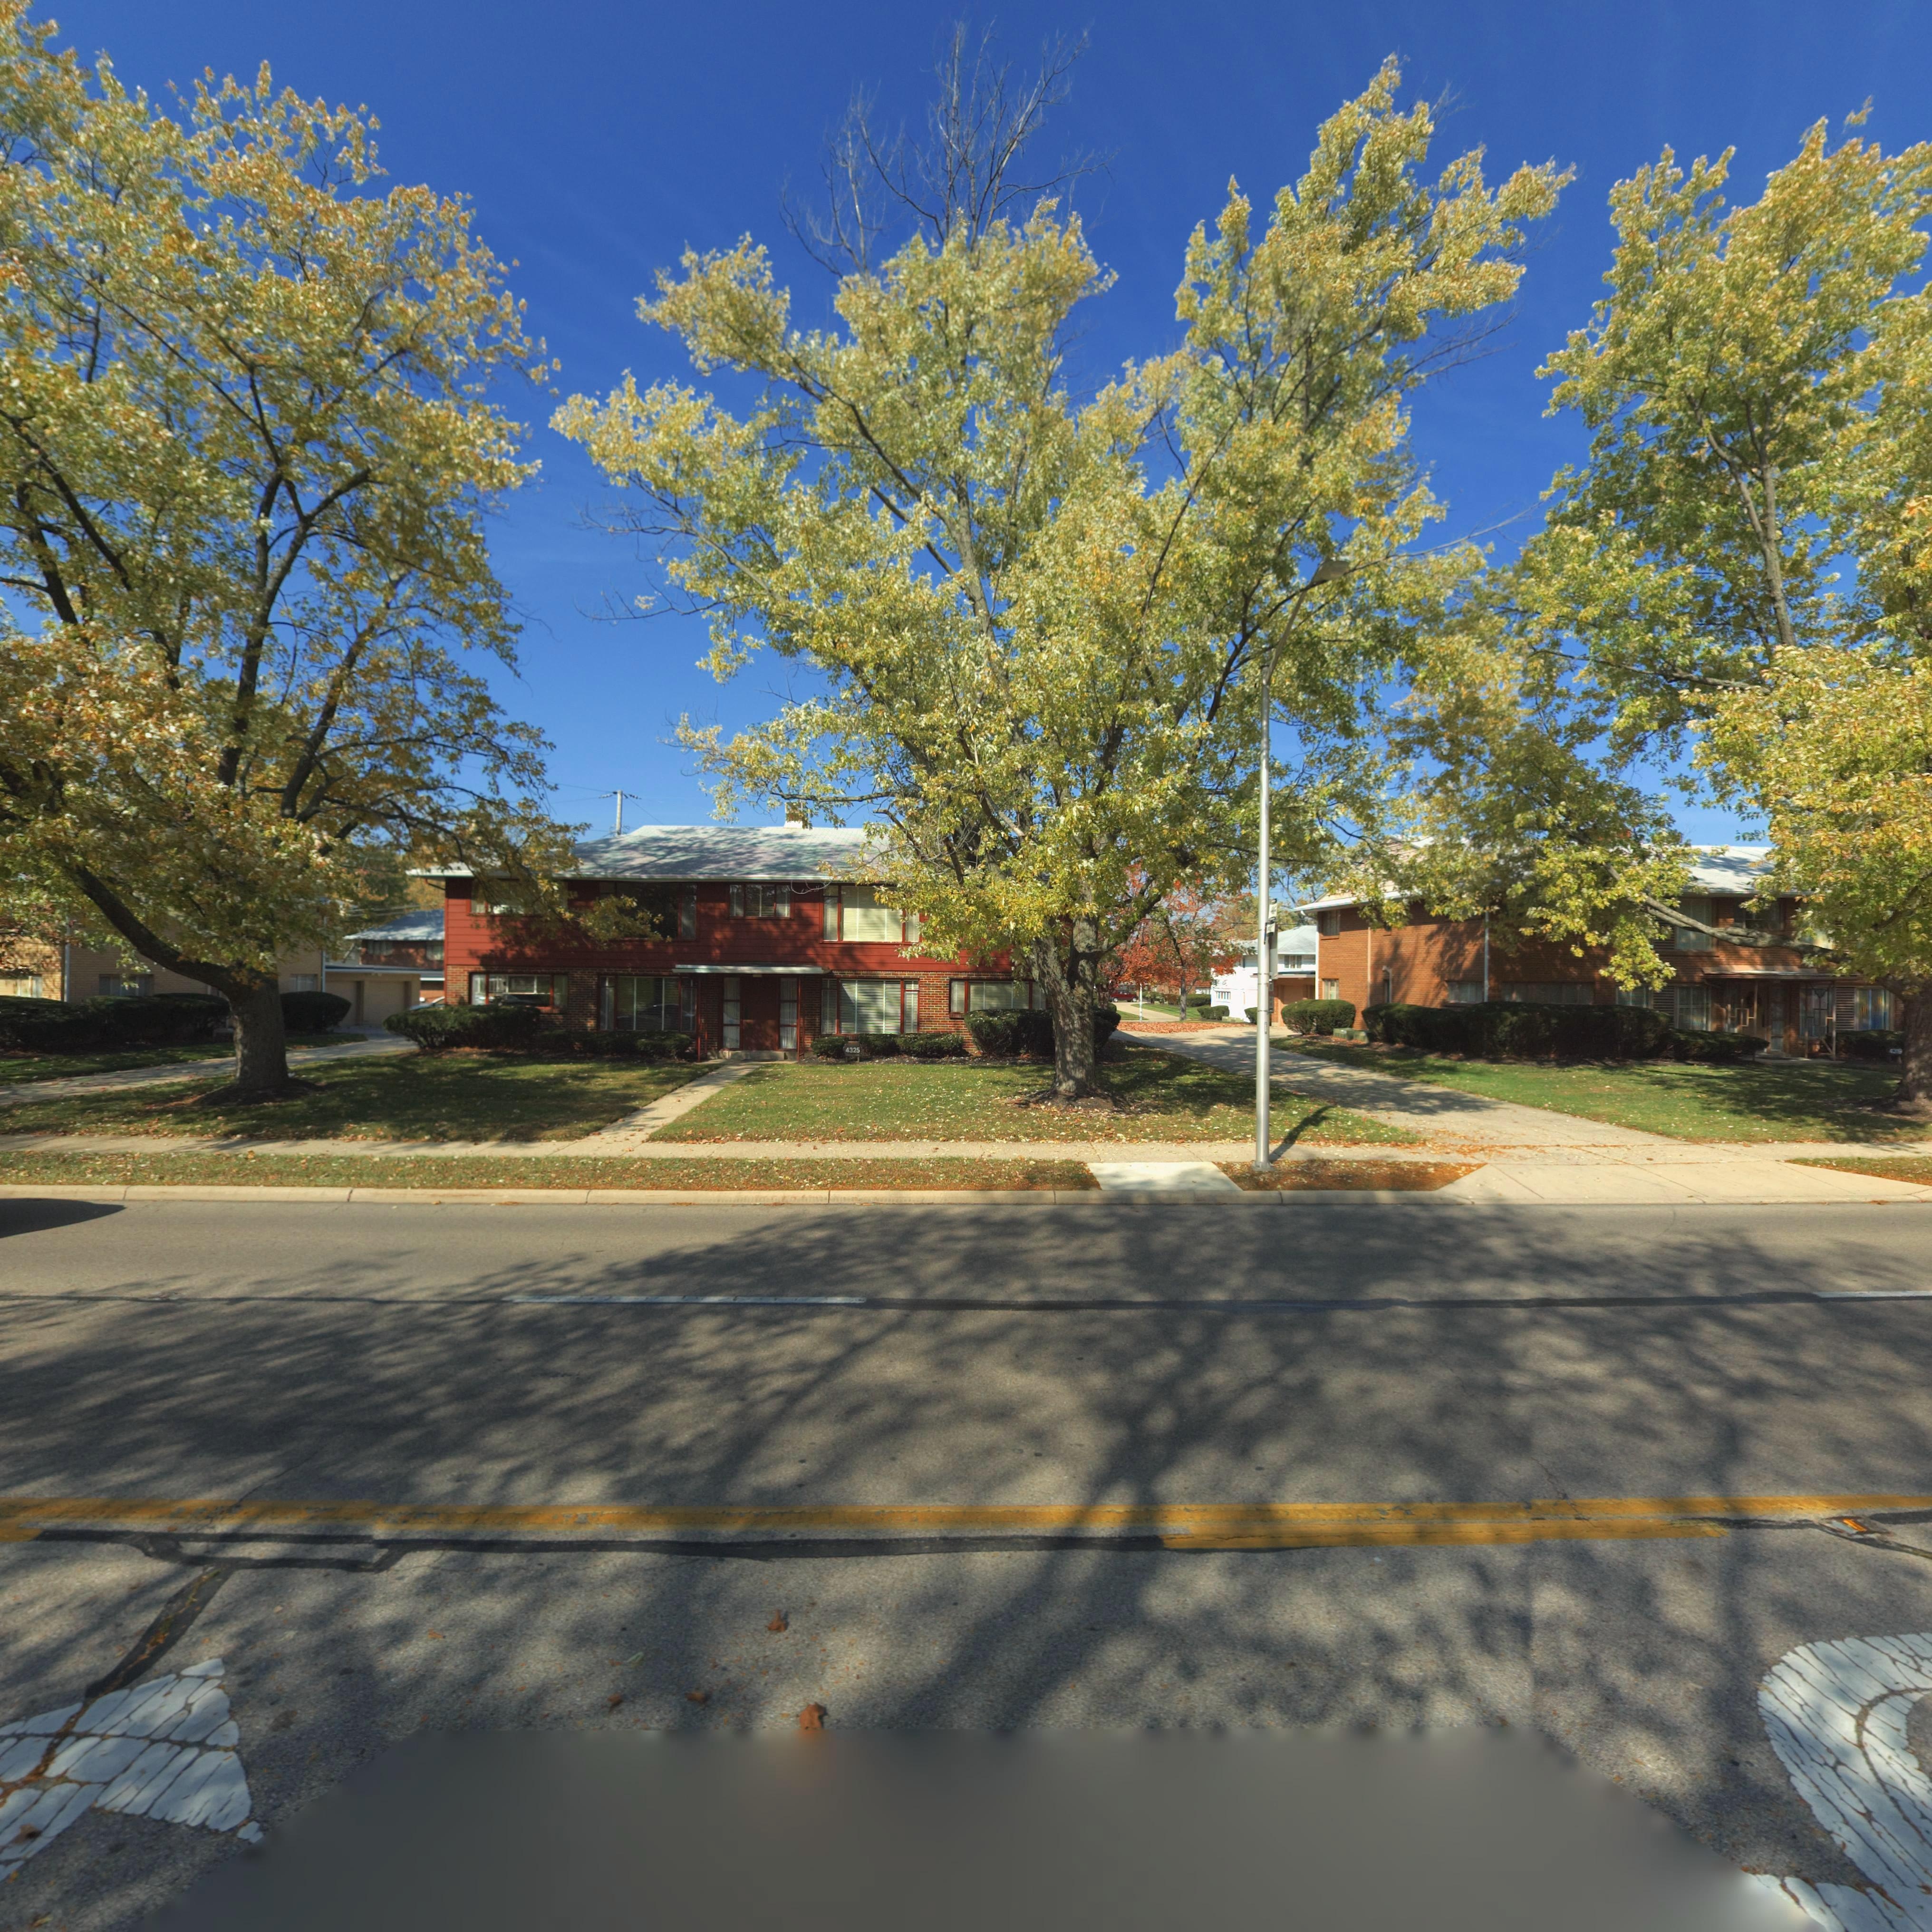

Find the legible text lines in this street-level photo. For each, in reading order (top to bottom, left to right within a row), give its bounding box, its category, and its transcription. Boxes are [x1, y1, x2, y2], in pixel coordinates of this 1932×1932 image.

[845, 1046, 861, 1054] StreetNumber: 4325